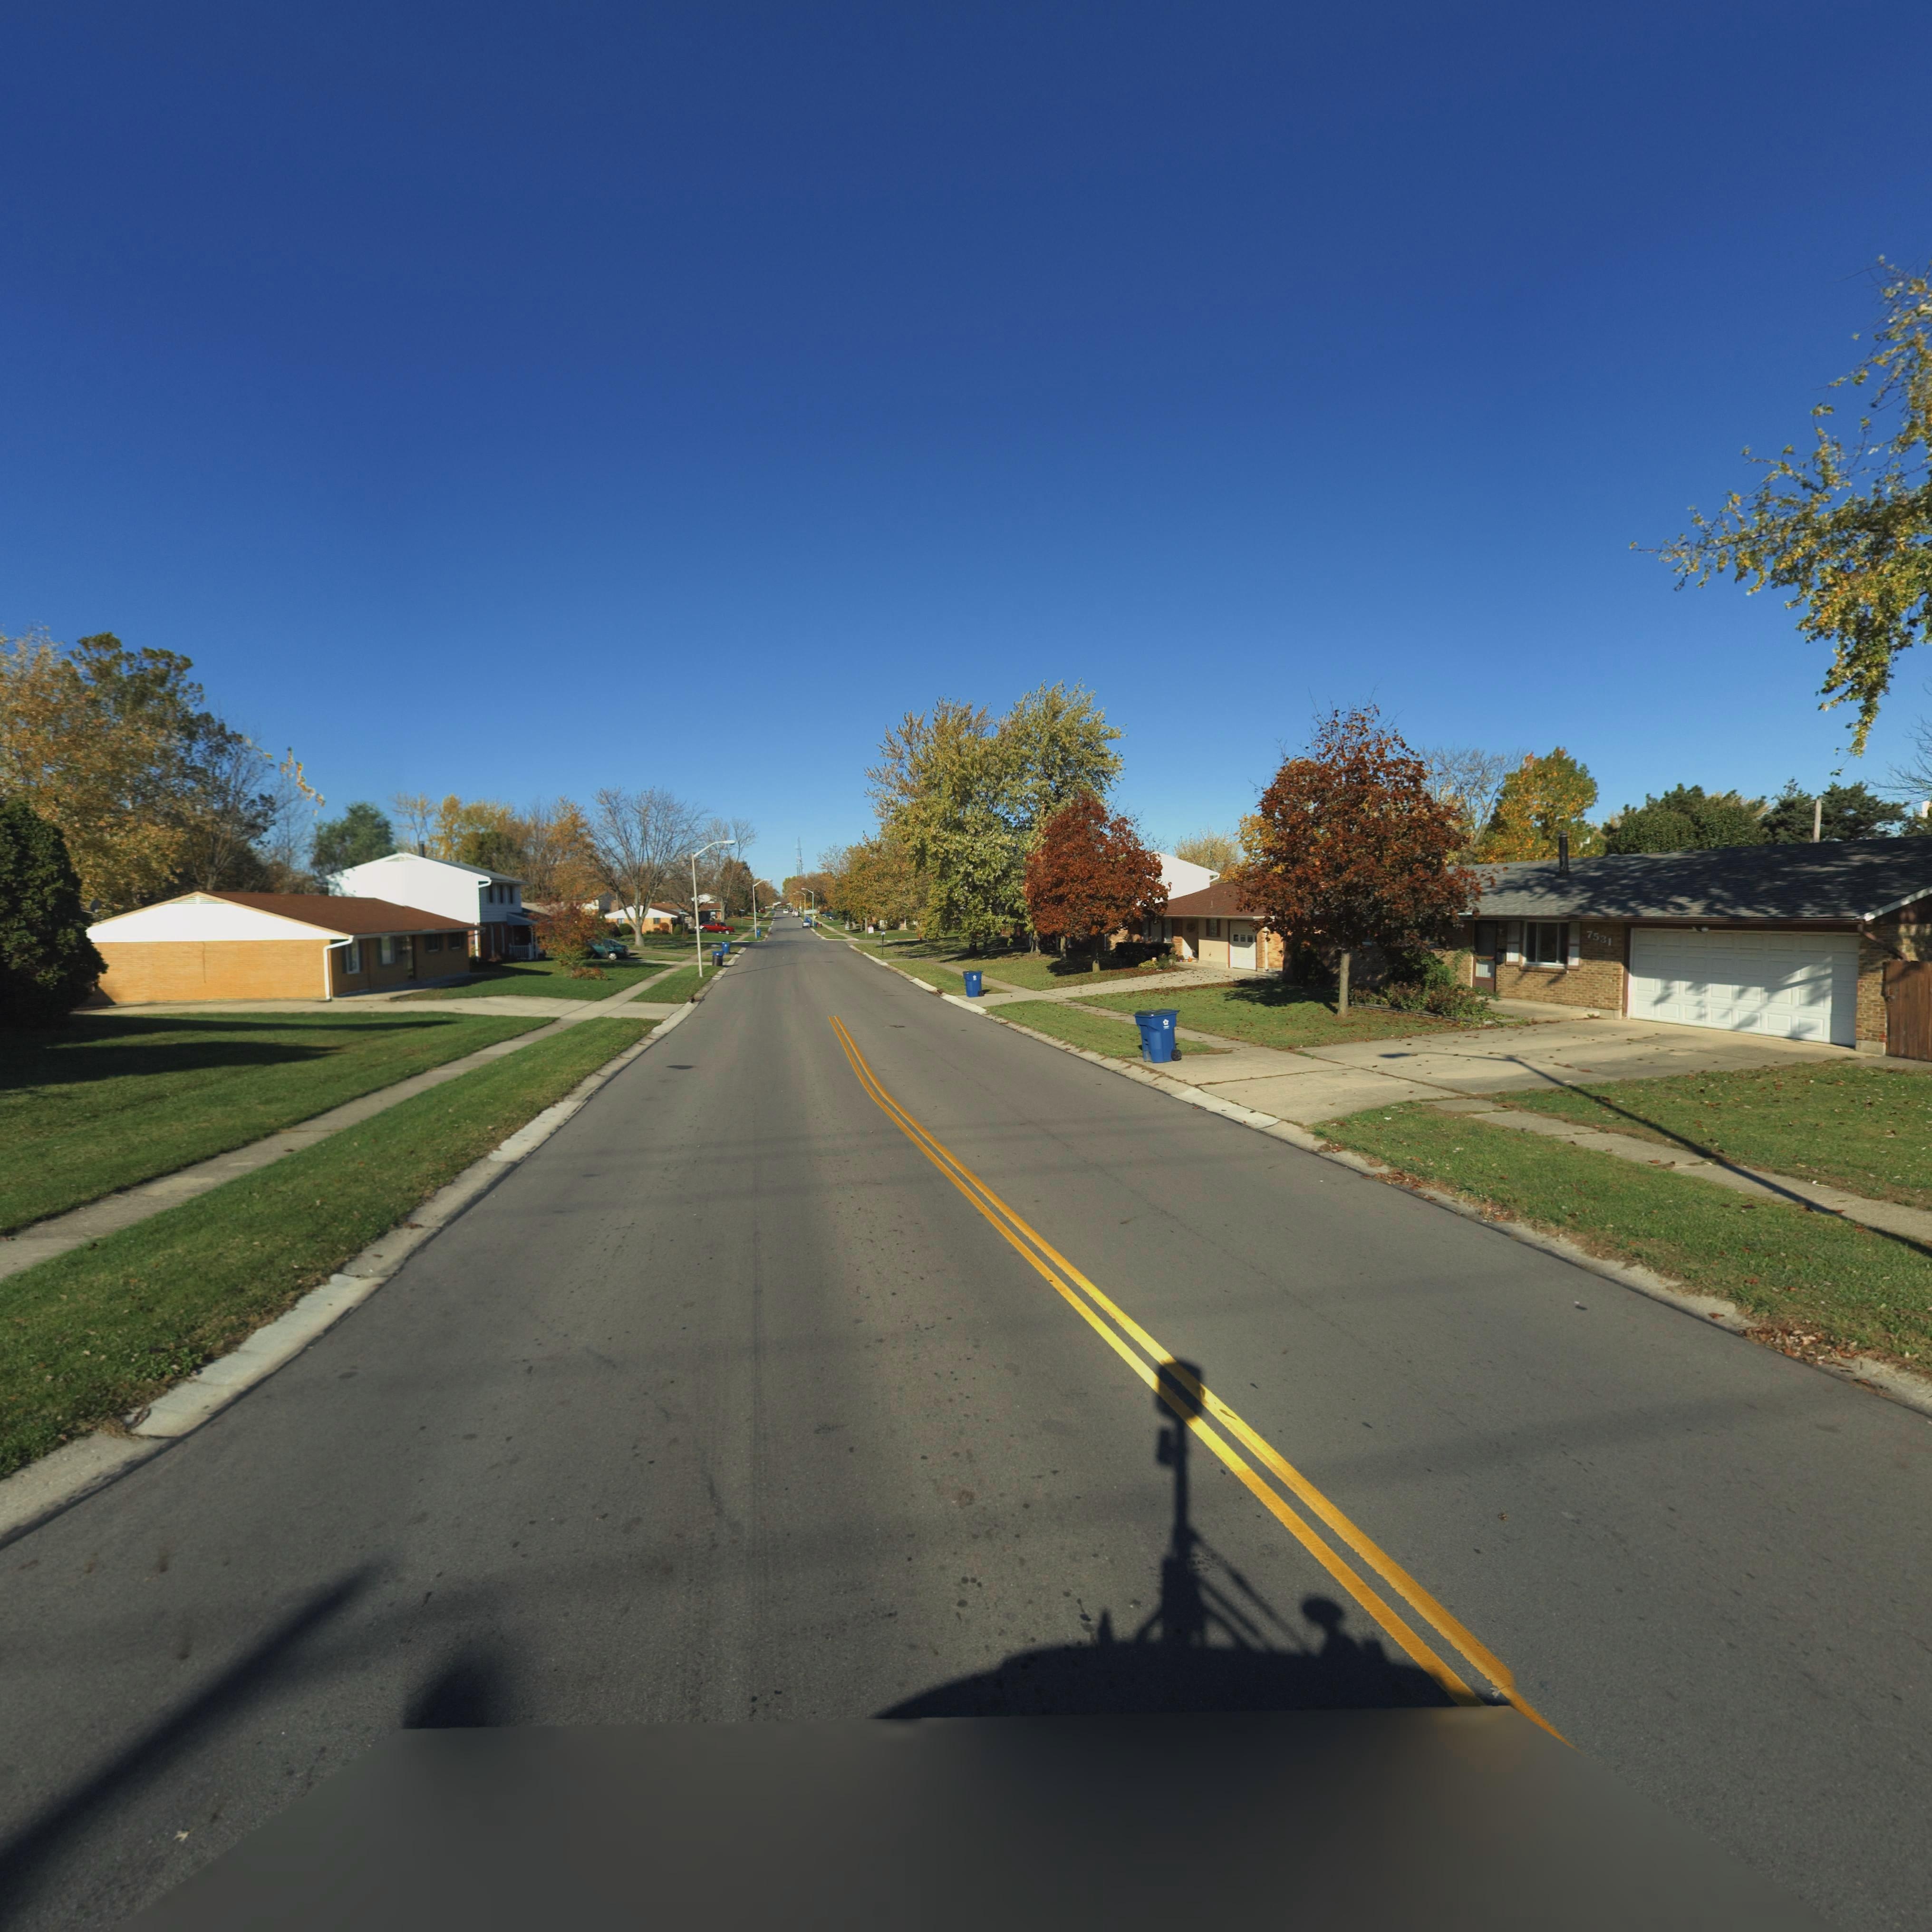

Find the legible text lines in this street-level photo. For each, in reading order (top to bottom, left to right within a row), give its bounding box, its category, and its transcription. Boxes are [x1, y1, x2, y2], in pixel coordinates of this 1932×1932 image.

[1586, 929, 1613, 948] StreetNumber: 7531